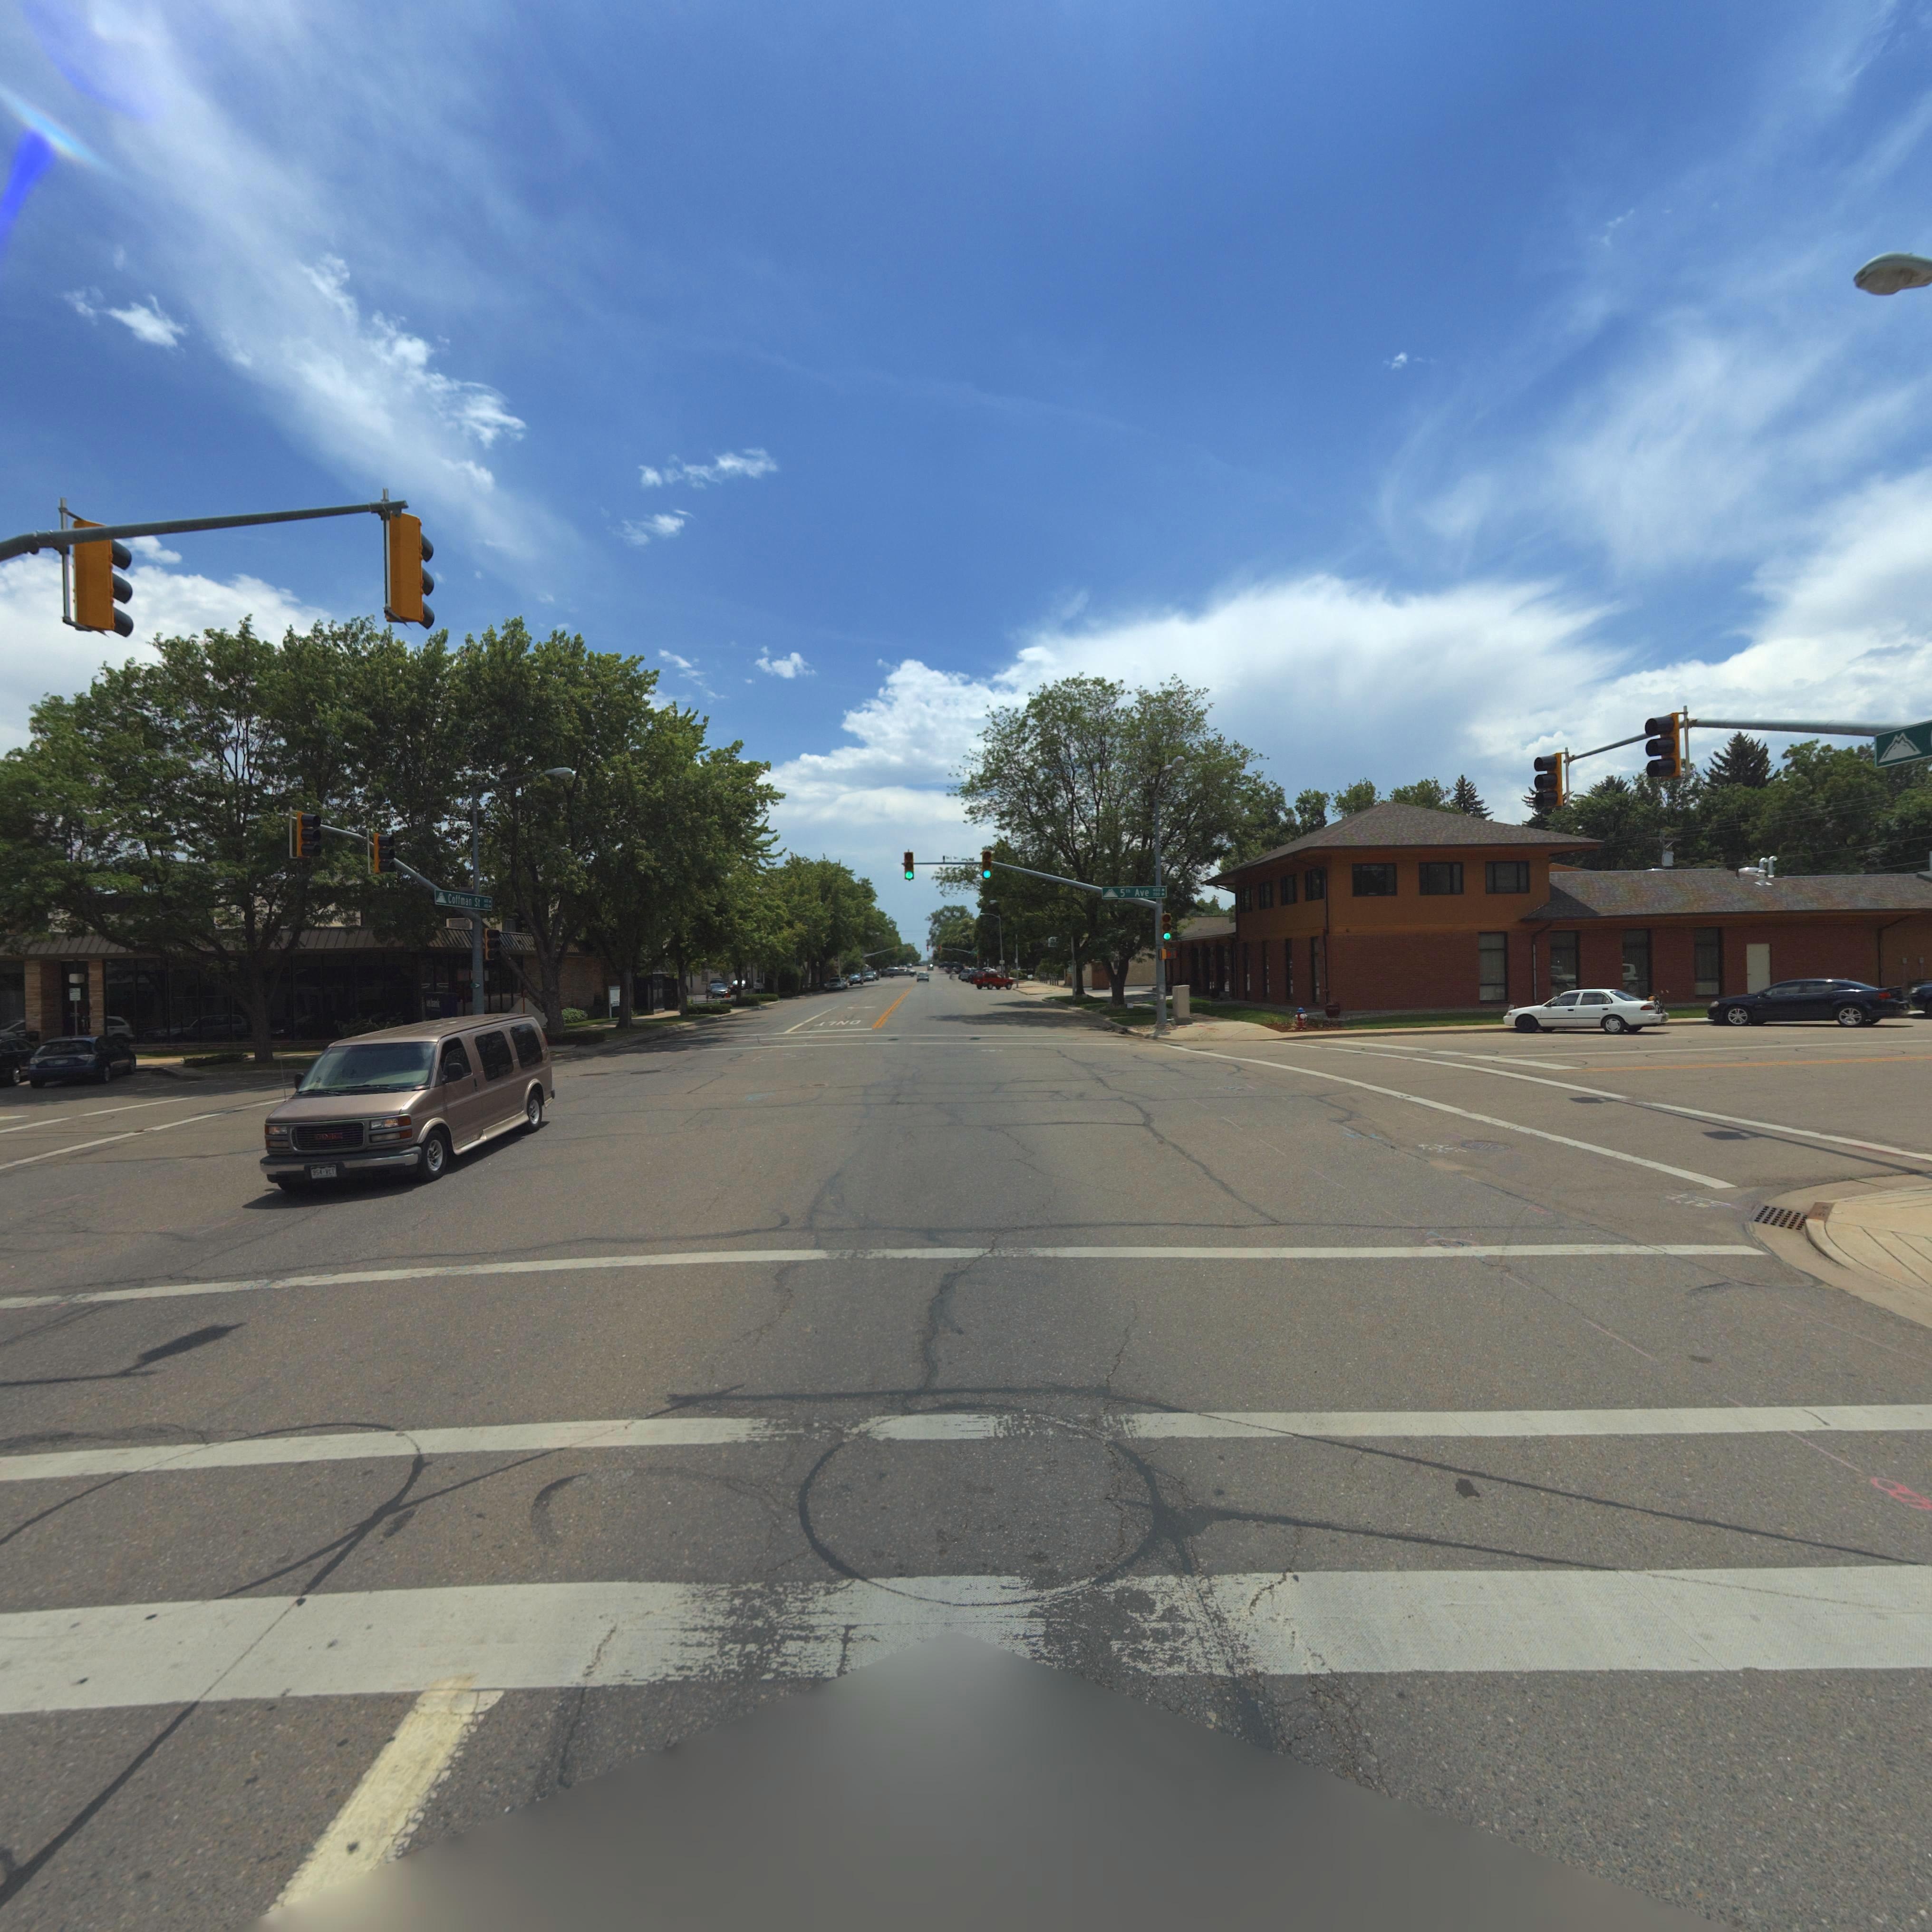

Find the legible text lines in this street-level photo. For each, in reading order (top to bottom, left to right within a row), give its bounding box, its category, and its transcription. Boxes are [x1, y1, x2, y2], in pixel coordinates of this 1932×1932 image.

[1120, 888, 1149, 897] StreetName: 5th Ave
[1152, 892, 1164, 896] StreetNumberRange: 700->
[448, 893, 480, 907] StreetName: Coffman St
[426, 998, 440, 1007] None: us***k